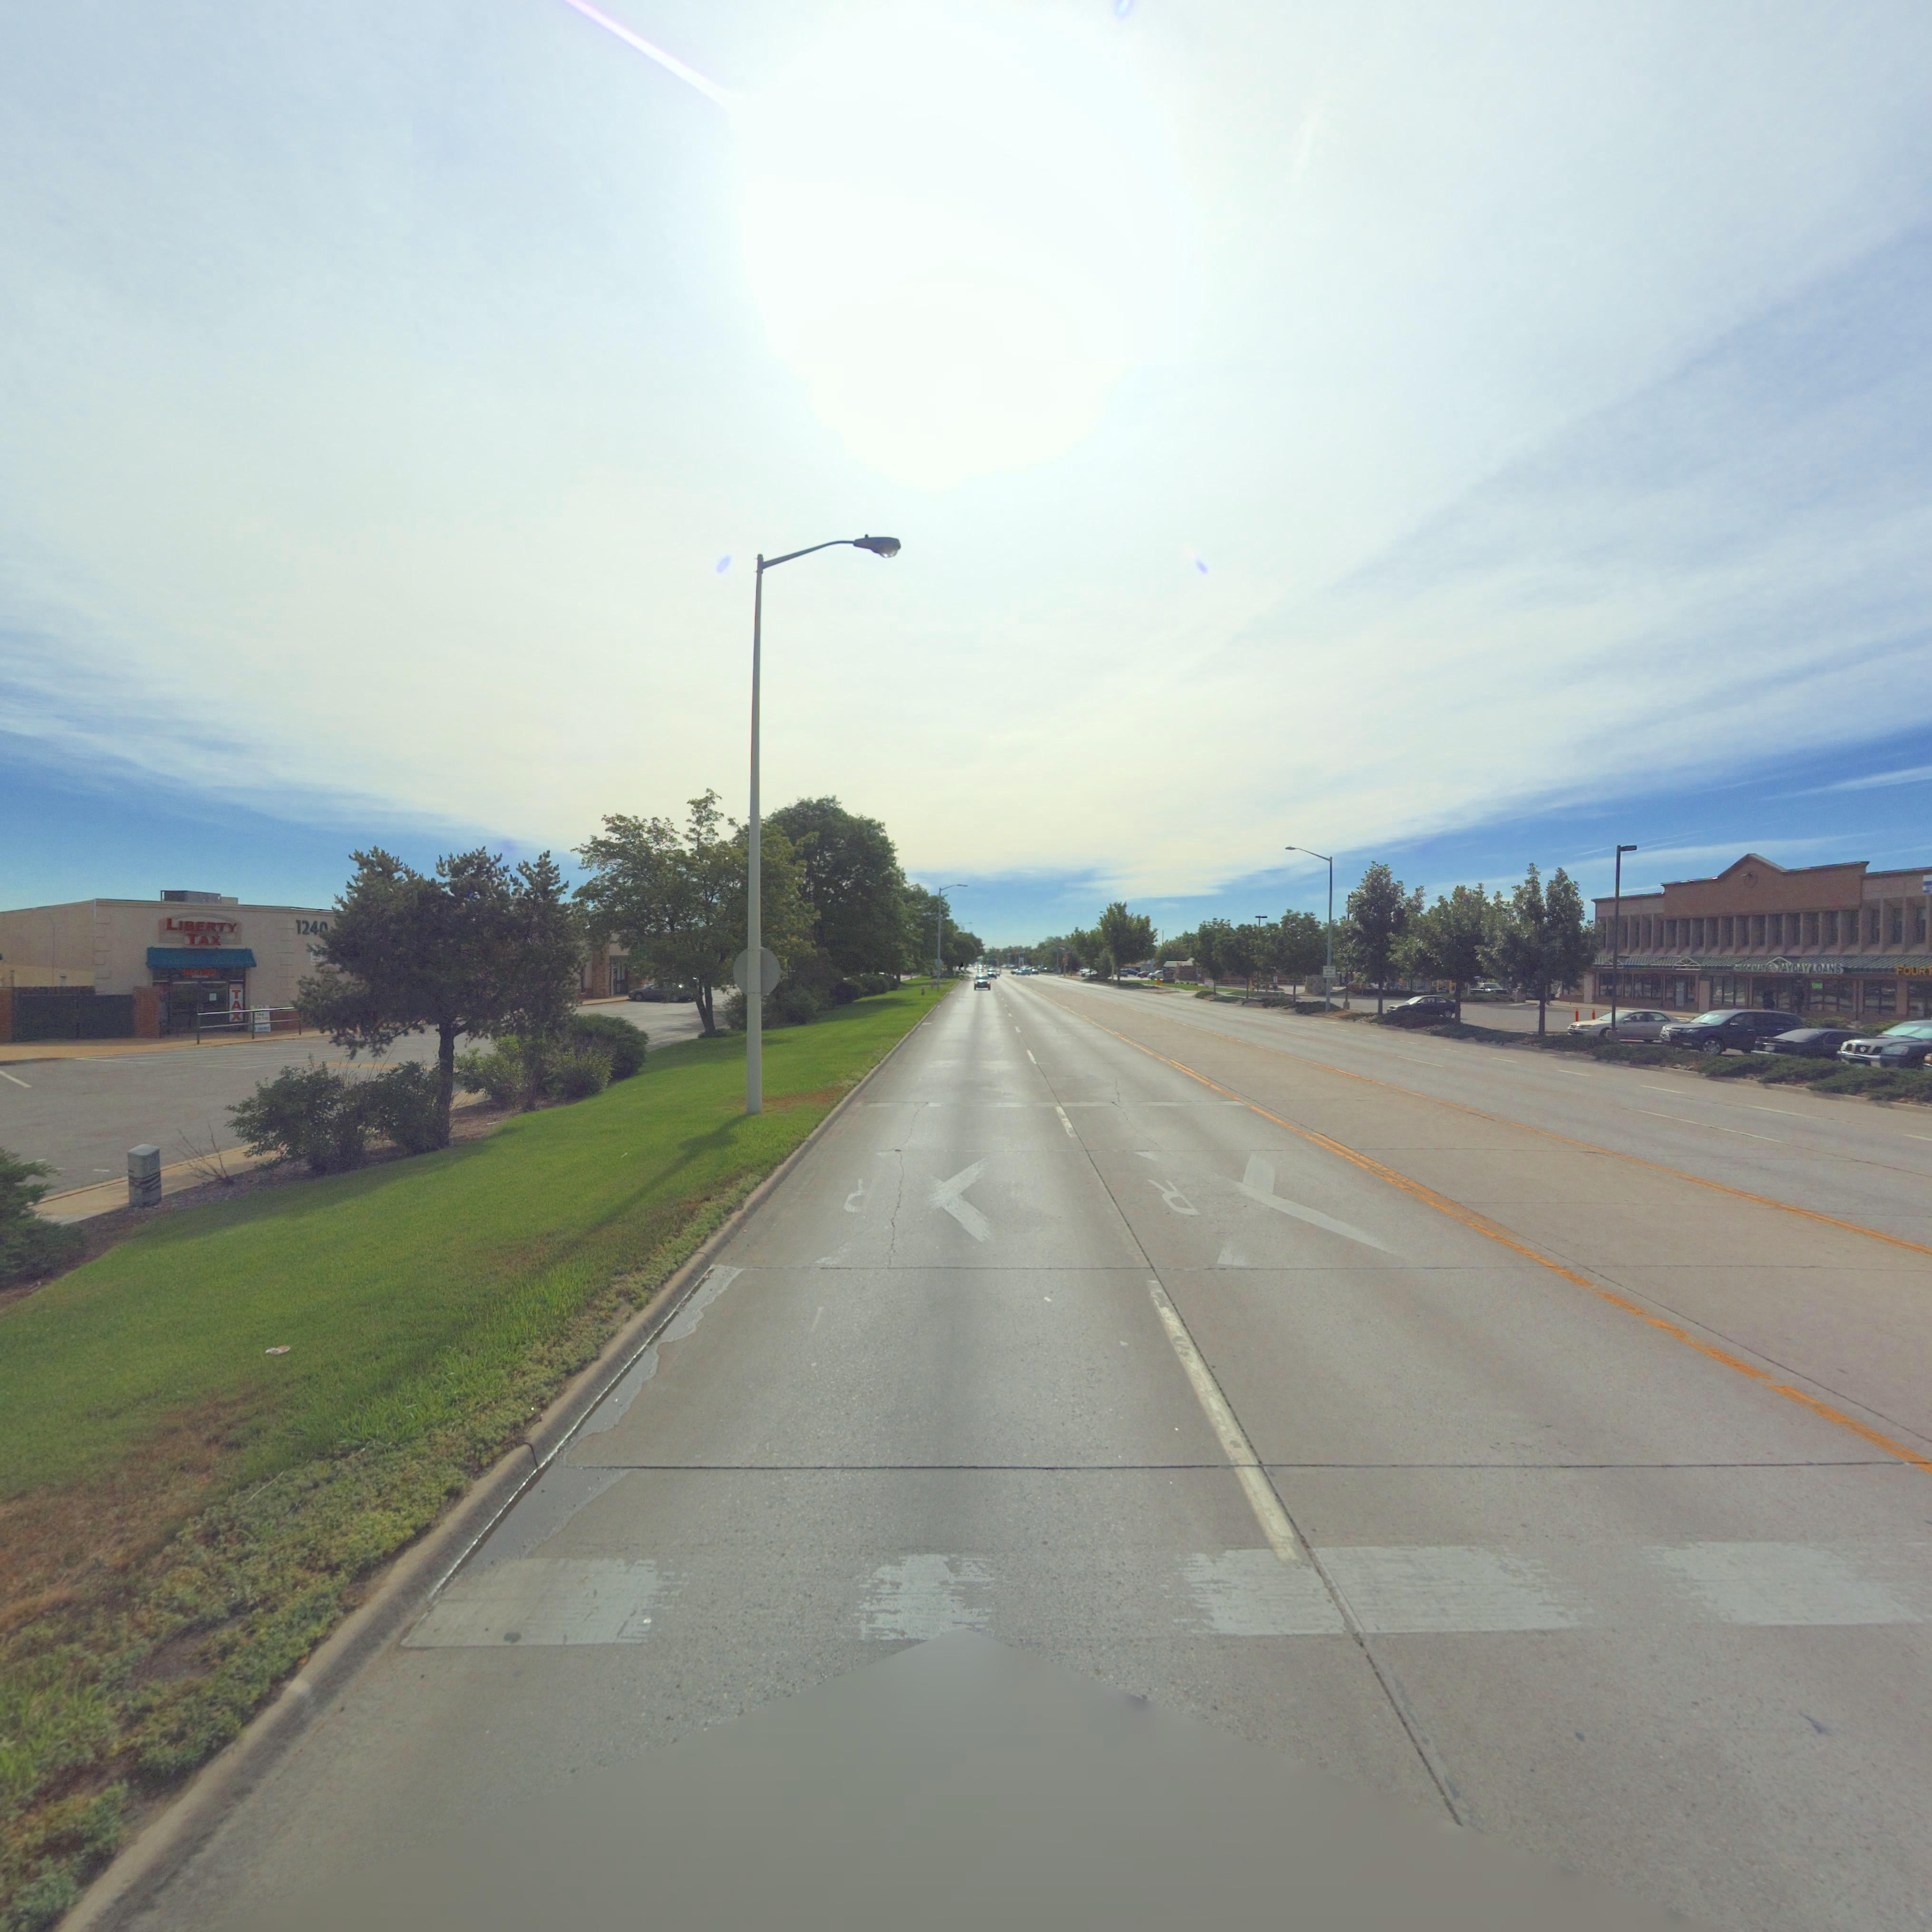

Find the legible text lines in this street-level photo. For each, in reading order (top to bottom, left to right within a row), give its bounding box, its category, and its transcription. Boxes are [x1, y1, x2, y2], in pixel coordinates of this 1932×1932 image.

[166, 918, 236, 932] BusinessName: LIBERTY
[295, 918, 329, 937] StreetNumber: 1240
[186, 932, 221, 946] BusinessName: TAX
[1731, 962, 1841, 974] BusinessName: ********* PAYDAY LOANS
[1896, 964, 1927, 976] BusinessName: FOUR